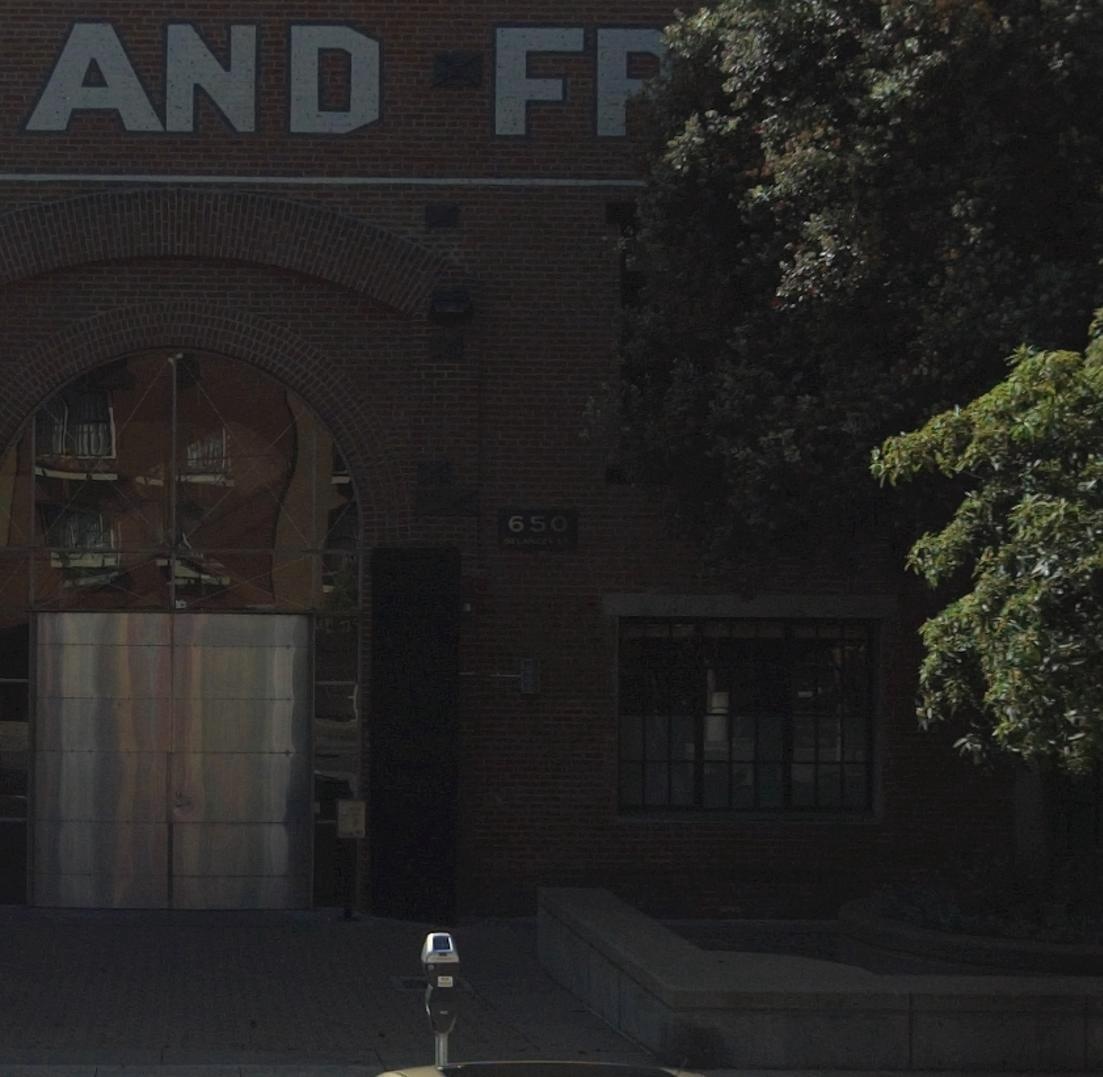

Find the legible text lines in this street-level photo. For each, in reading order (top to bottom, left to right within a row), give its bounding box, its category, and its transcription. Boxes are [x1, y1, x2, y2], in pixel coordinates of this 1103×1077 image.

[11, 14, 596, 150] None: AND F
[503, 511, 572, 537] StreetNumber: 650